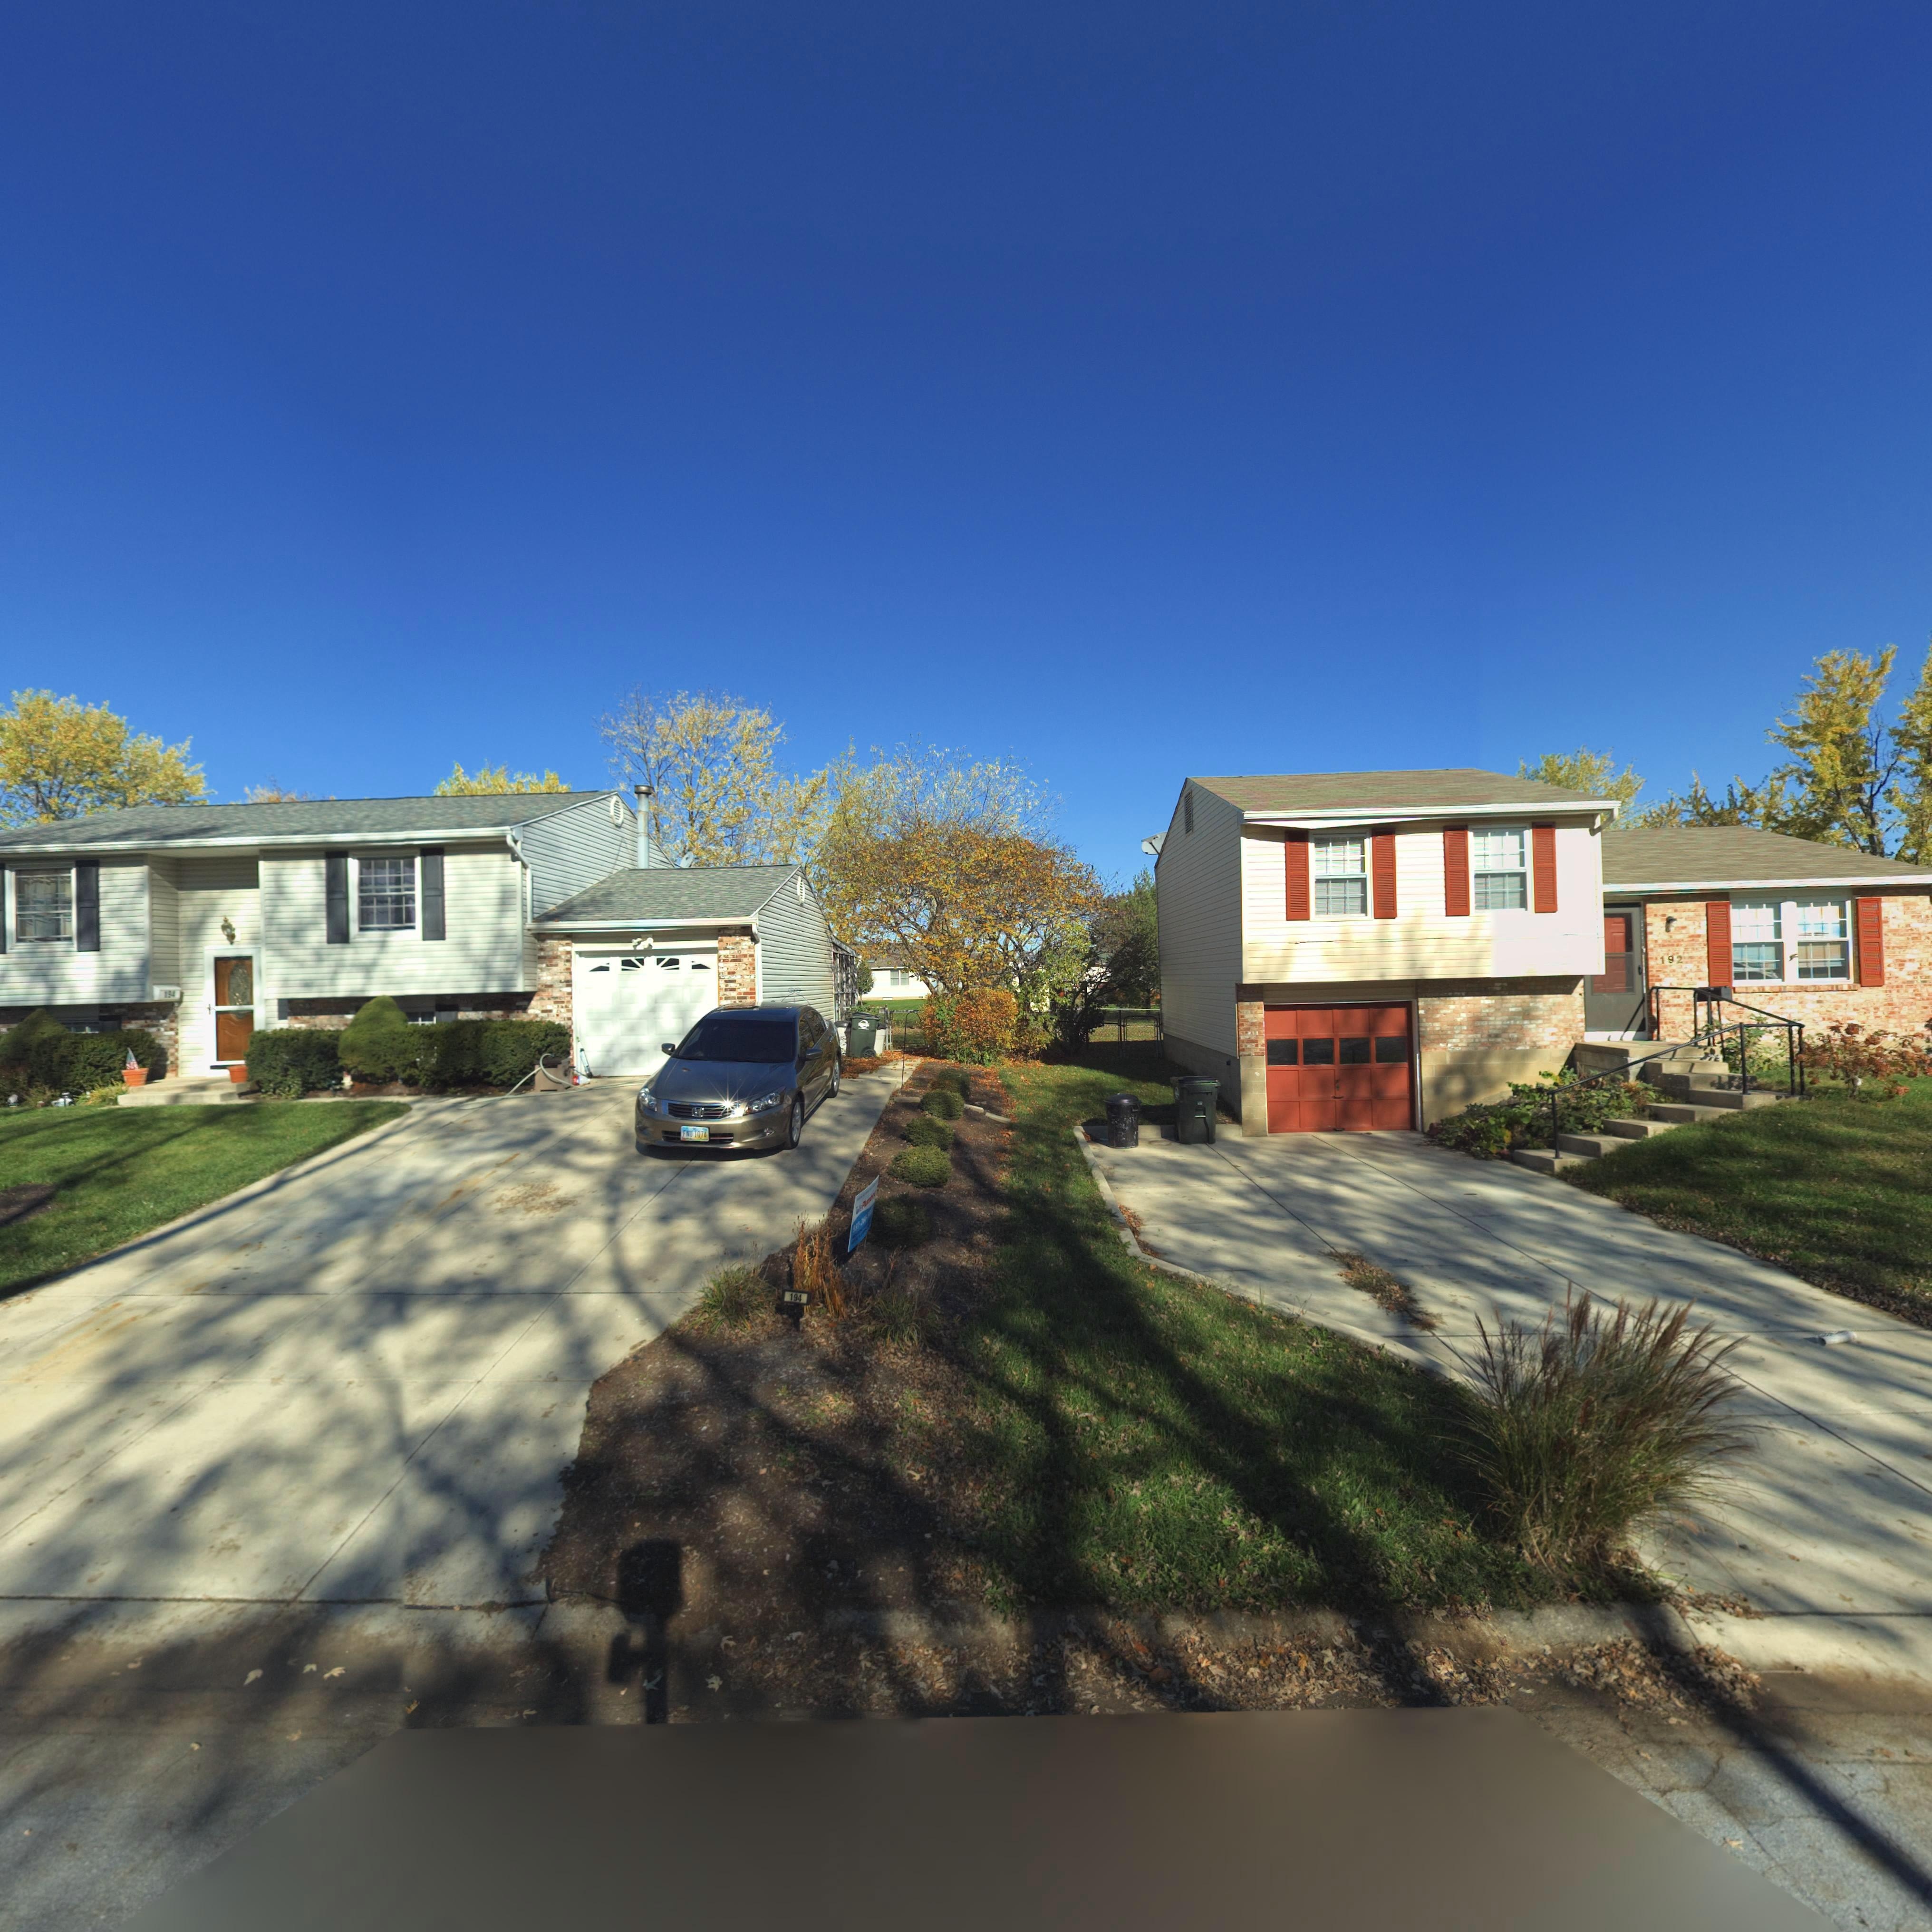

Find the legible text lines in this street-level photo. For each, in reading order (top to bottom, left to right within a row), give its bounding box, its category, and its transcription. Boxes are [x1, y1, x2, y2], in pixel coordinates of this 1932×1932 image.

[1659, 954, 1684, 966] StreetNumber: 192
[789, 1292, 802, 1303] StreetNumber: 194